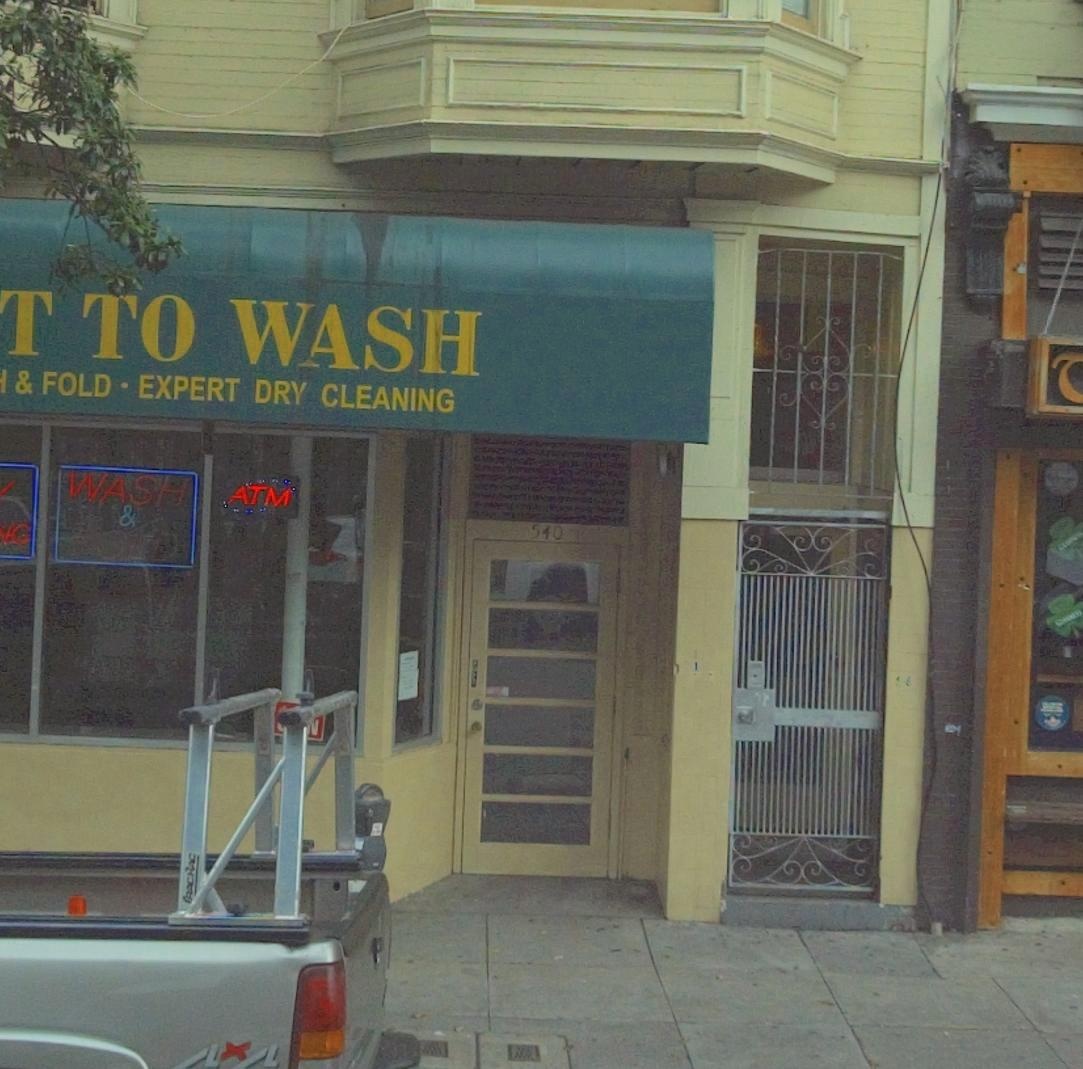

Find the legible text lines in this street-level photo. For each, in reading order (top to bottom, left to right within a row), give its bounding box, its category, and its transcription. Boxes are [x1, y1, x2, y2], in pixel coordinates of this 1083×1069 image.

[0, 286, 488, 381] BusinessName: T TO WASH
[64, 464, 195, 510] None: WASH
[223, 479, 296, 511] None: ATM
[7, 518, 34, 548] None: G
[528, 522, 565, 543] StreetNumber: 540